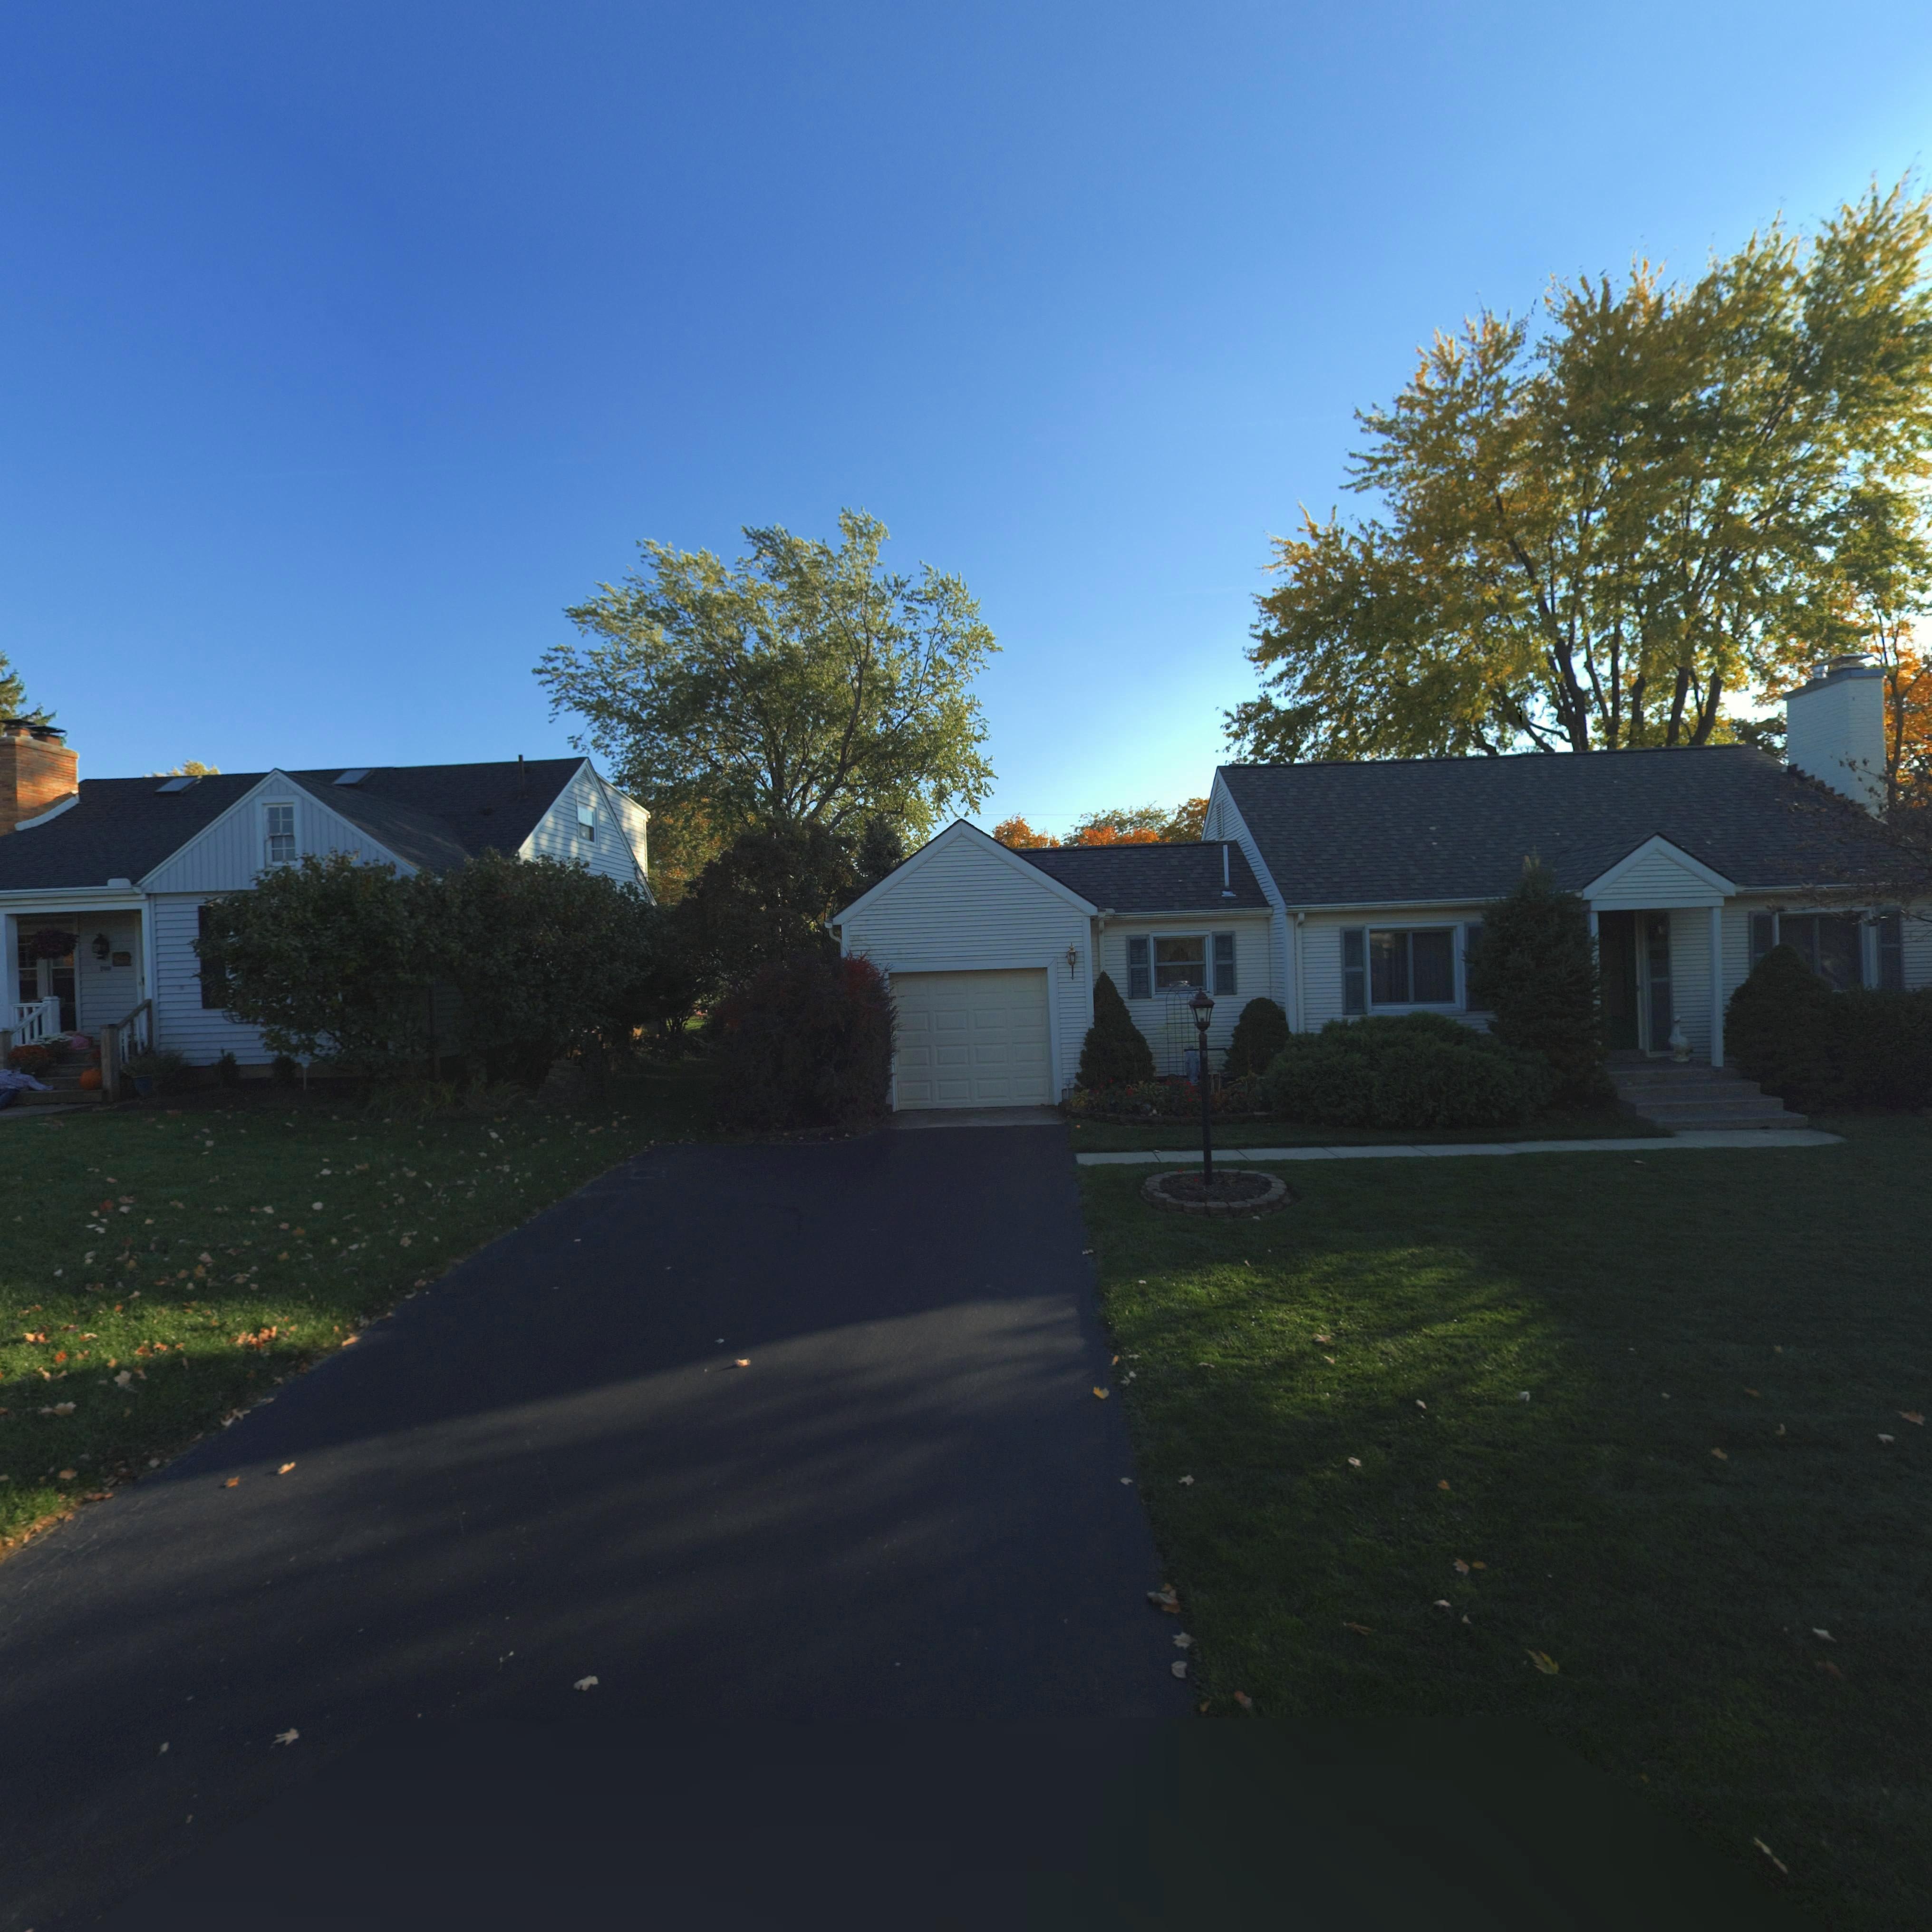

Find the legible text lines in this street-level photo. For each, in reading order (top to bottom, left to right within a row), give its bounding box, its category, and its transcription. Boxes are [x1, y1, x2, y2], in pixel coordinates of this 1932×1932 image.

[99, 966, 111, 972] StreetNumber: 200